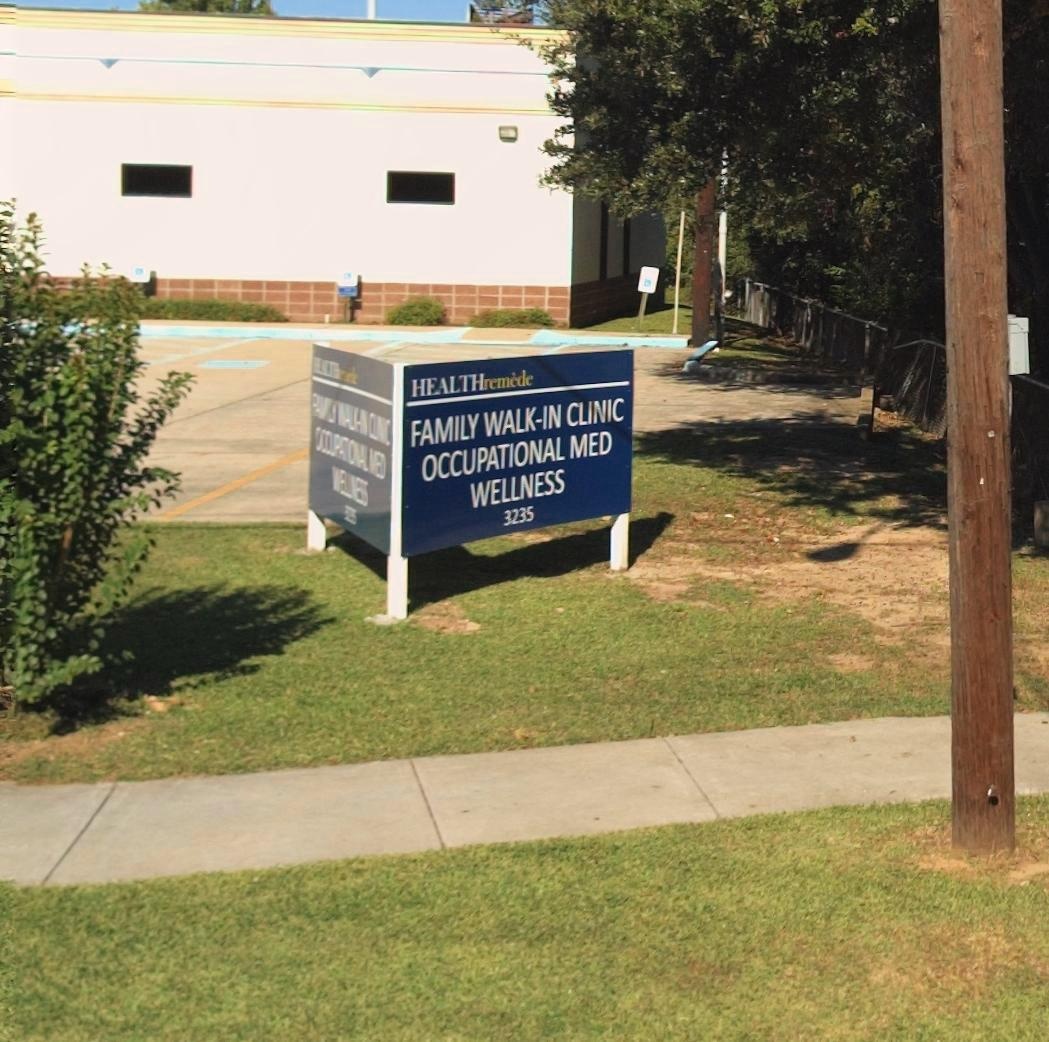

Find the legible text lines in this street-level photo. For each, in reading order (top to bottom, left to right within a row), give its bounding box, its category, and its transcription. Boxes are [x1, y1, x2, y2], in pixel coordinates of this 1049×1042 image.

[409, 366, 536, 400] BusinessName: HEALTHremede
[408, 394, 627, 451] BusinessName: FAMILY WALK-IN CLINIC
[418, 428, 615, 486] None: OCCUPATIONAL MED
[465, 465, 568, 512] None: WELLNESS
[501, 503, 537, 530] StreetNumber: 3235